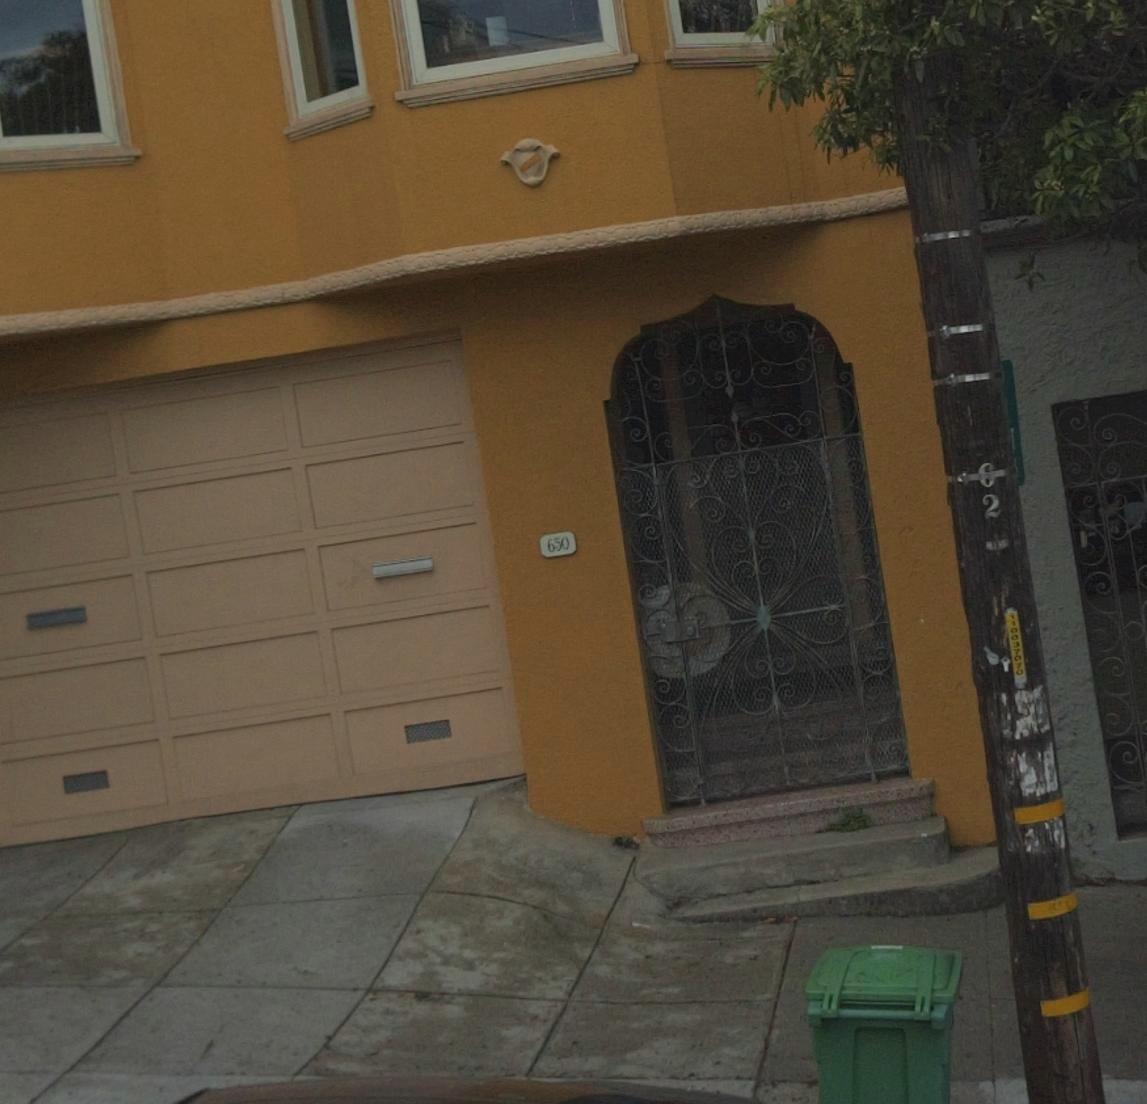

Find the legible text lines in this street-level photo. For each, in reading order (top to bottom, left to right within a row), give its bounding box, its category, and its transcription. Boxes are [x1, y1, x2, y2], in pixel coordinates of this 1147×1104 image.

[975, 489, 1009, 526] None: 2
[543, 535, 571, 555] StreetNumber: 650
[1006, 611, 1027, 677] None: 110037070